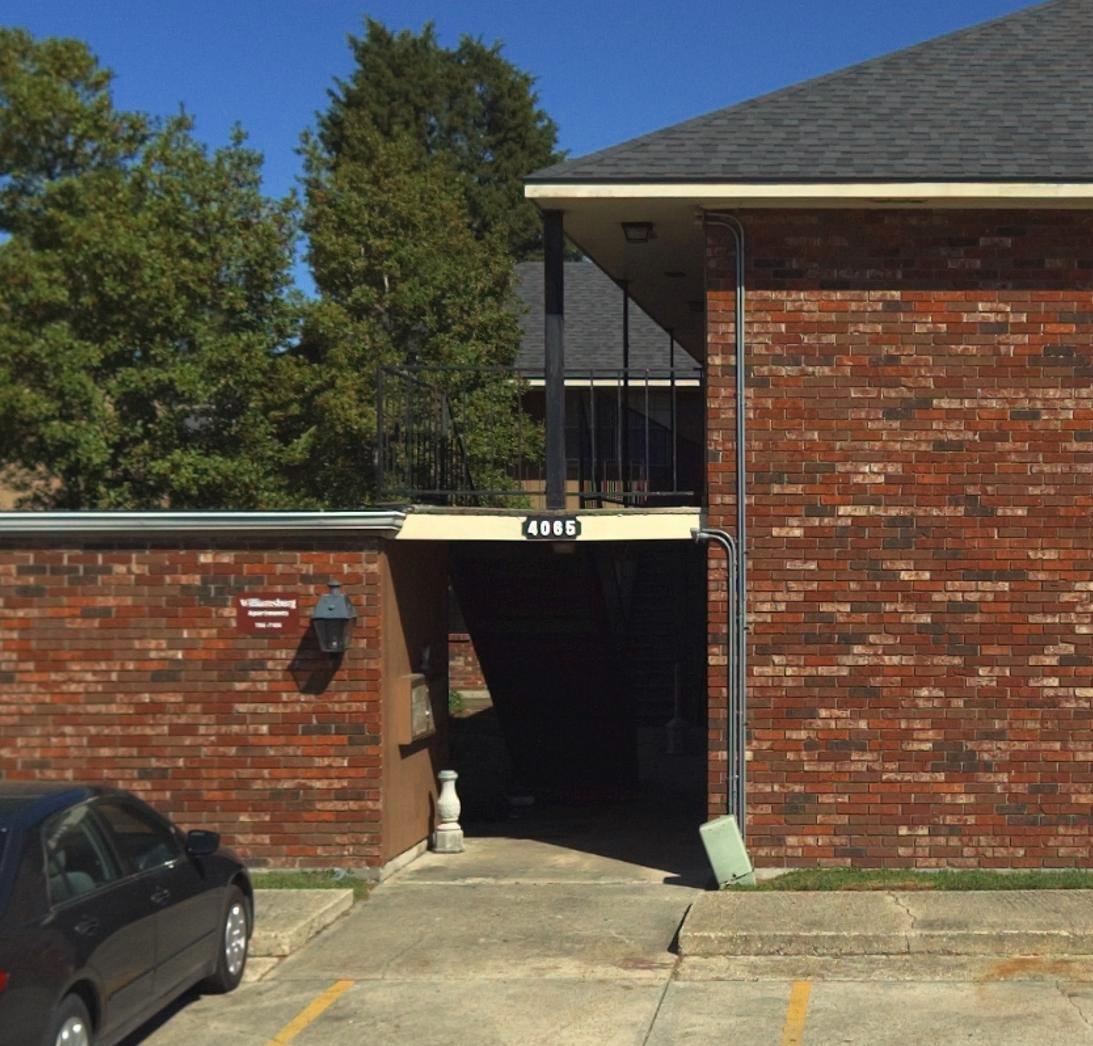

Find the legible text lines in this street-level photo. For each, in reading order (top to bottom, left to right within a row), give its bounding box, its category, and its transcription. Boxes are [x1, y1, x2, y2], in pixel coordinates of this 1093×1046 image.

[526, 519, 577, 538] StreetNumber: 4065